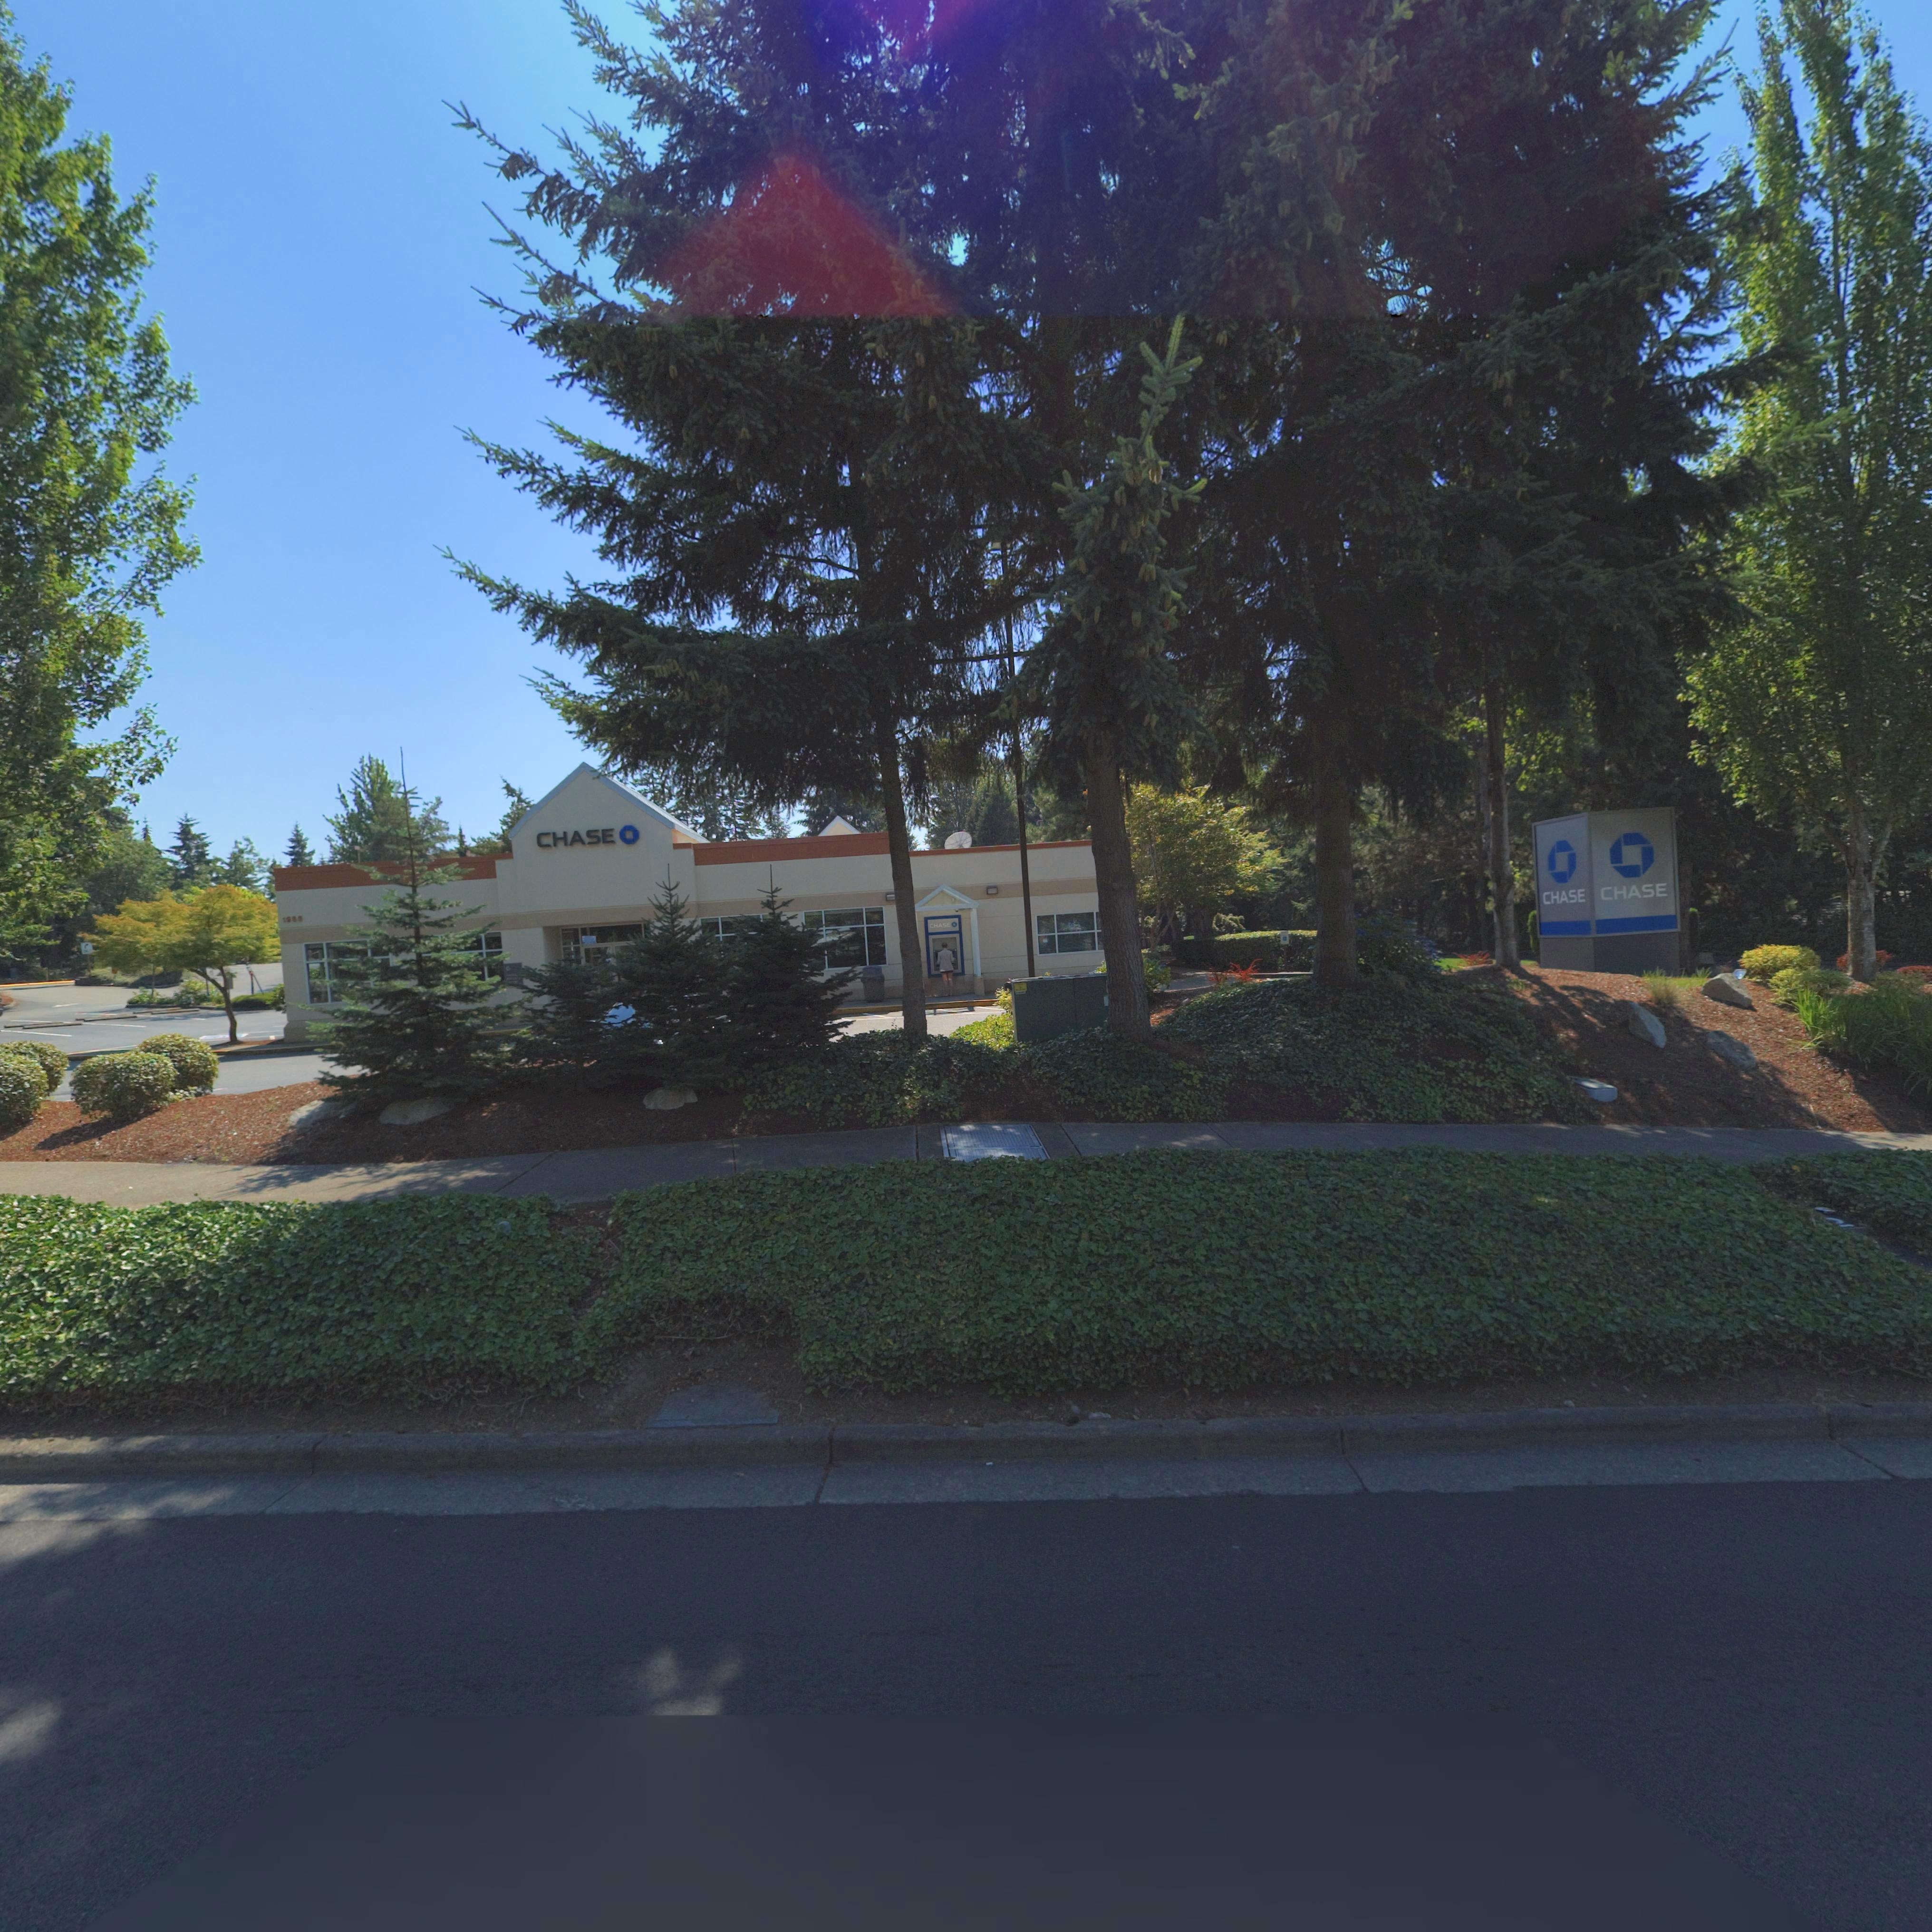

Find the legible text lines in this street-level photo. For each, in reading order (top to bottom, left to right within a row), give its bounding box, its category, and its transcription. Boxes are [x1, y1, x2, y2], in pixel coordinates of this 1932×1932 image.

[535, 825, 617, 852] BusinessName: CHASE
[1542, 888, 1587, 905] BusinessName: CHASE
[1601, 881, 1668, 900] BusinessName: CHASE
[930, 922, 951, 928] BusinessName: CHASE